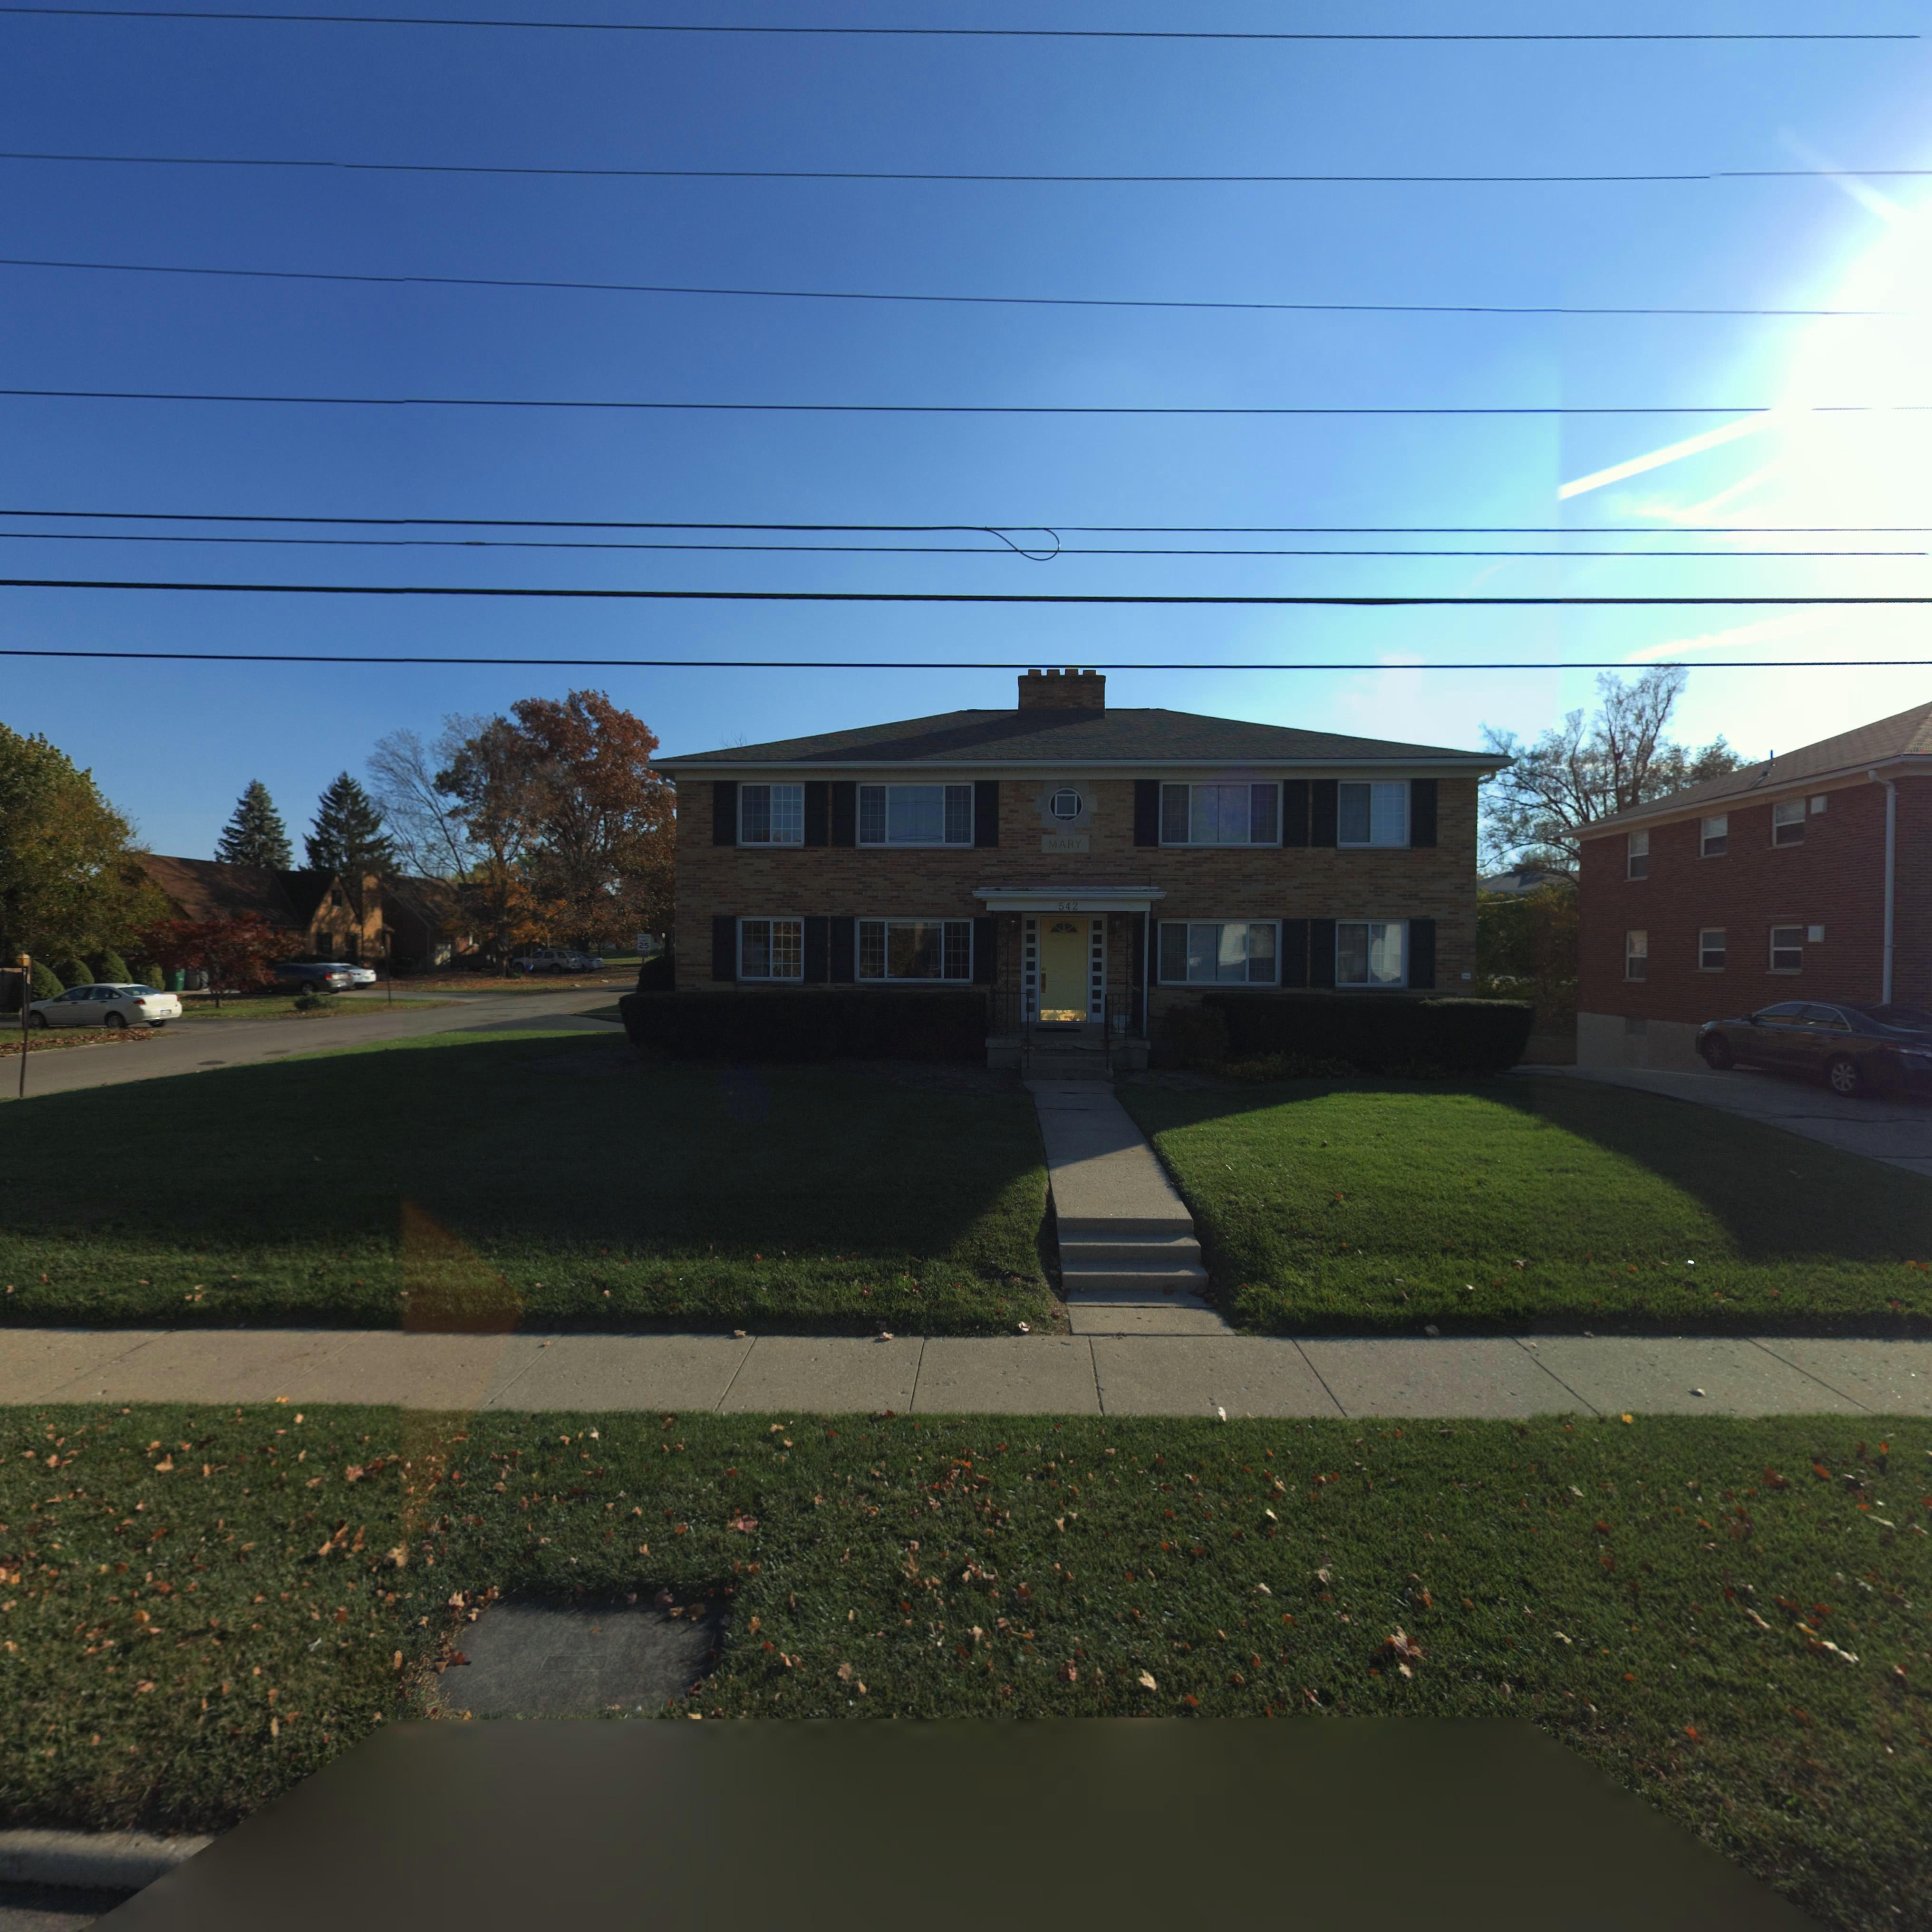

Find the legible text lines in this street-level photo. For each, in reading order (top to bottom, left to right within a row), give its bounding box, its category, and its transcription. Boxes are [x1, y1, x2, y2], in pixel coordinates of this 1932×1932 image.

[1058, 901, 1078, 911] StreetNumber: 542